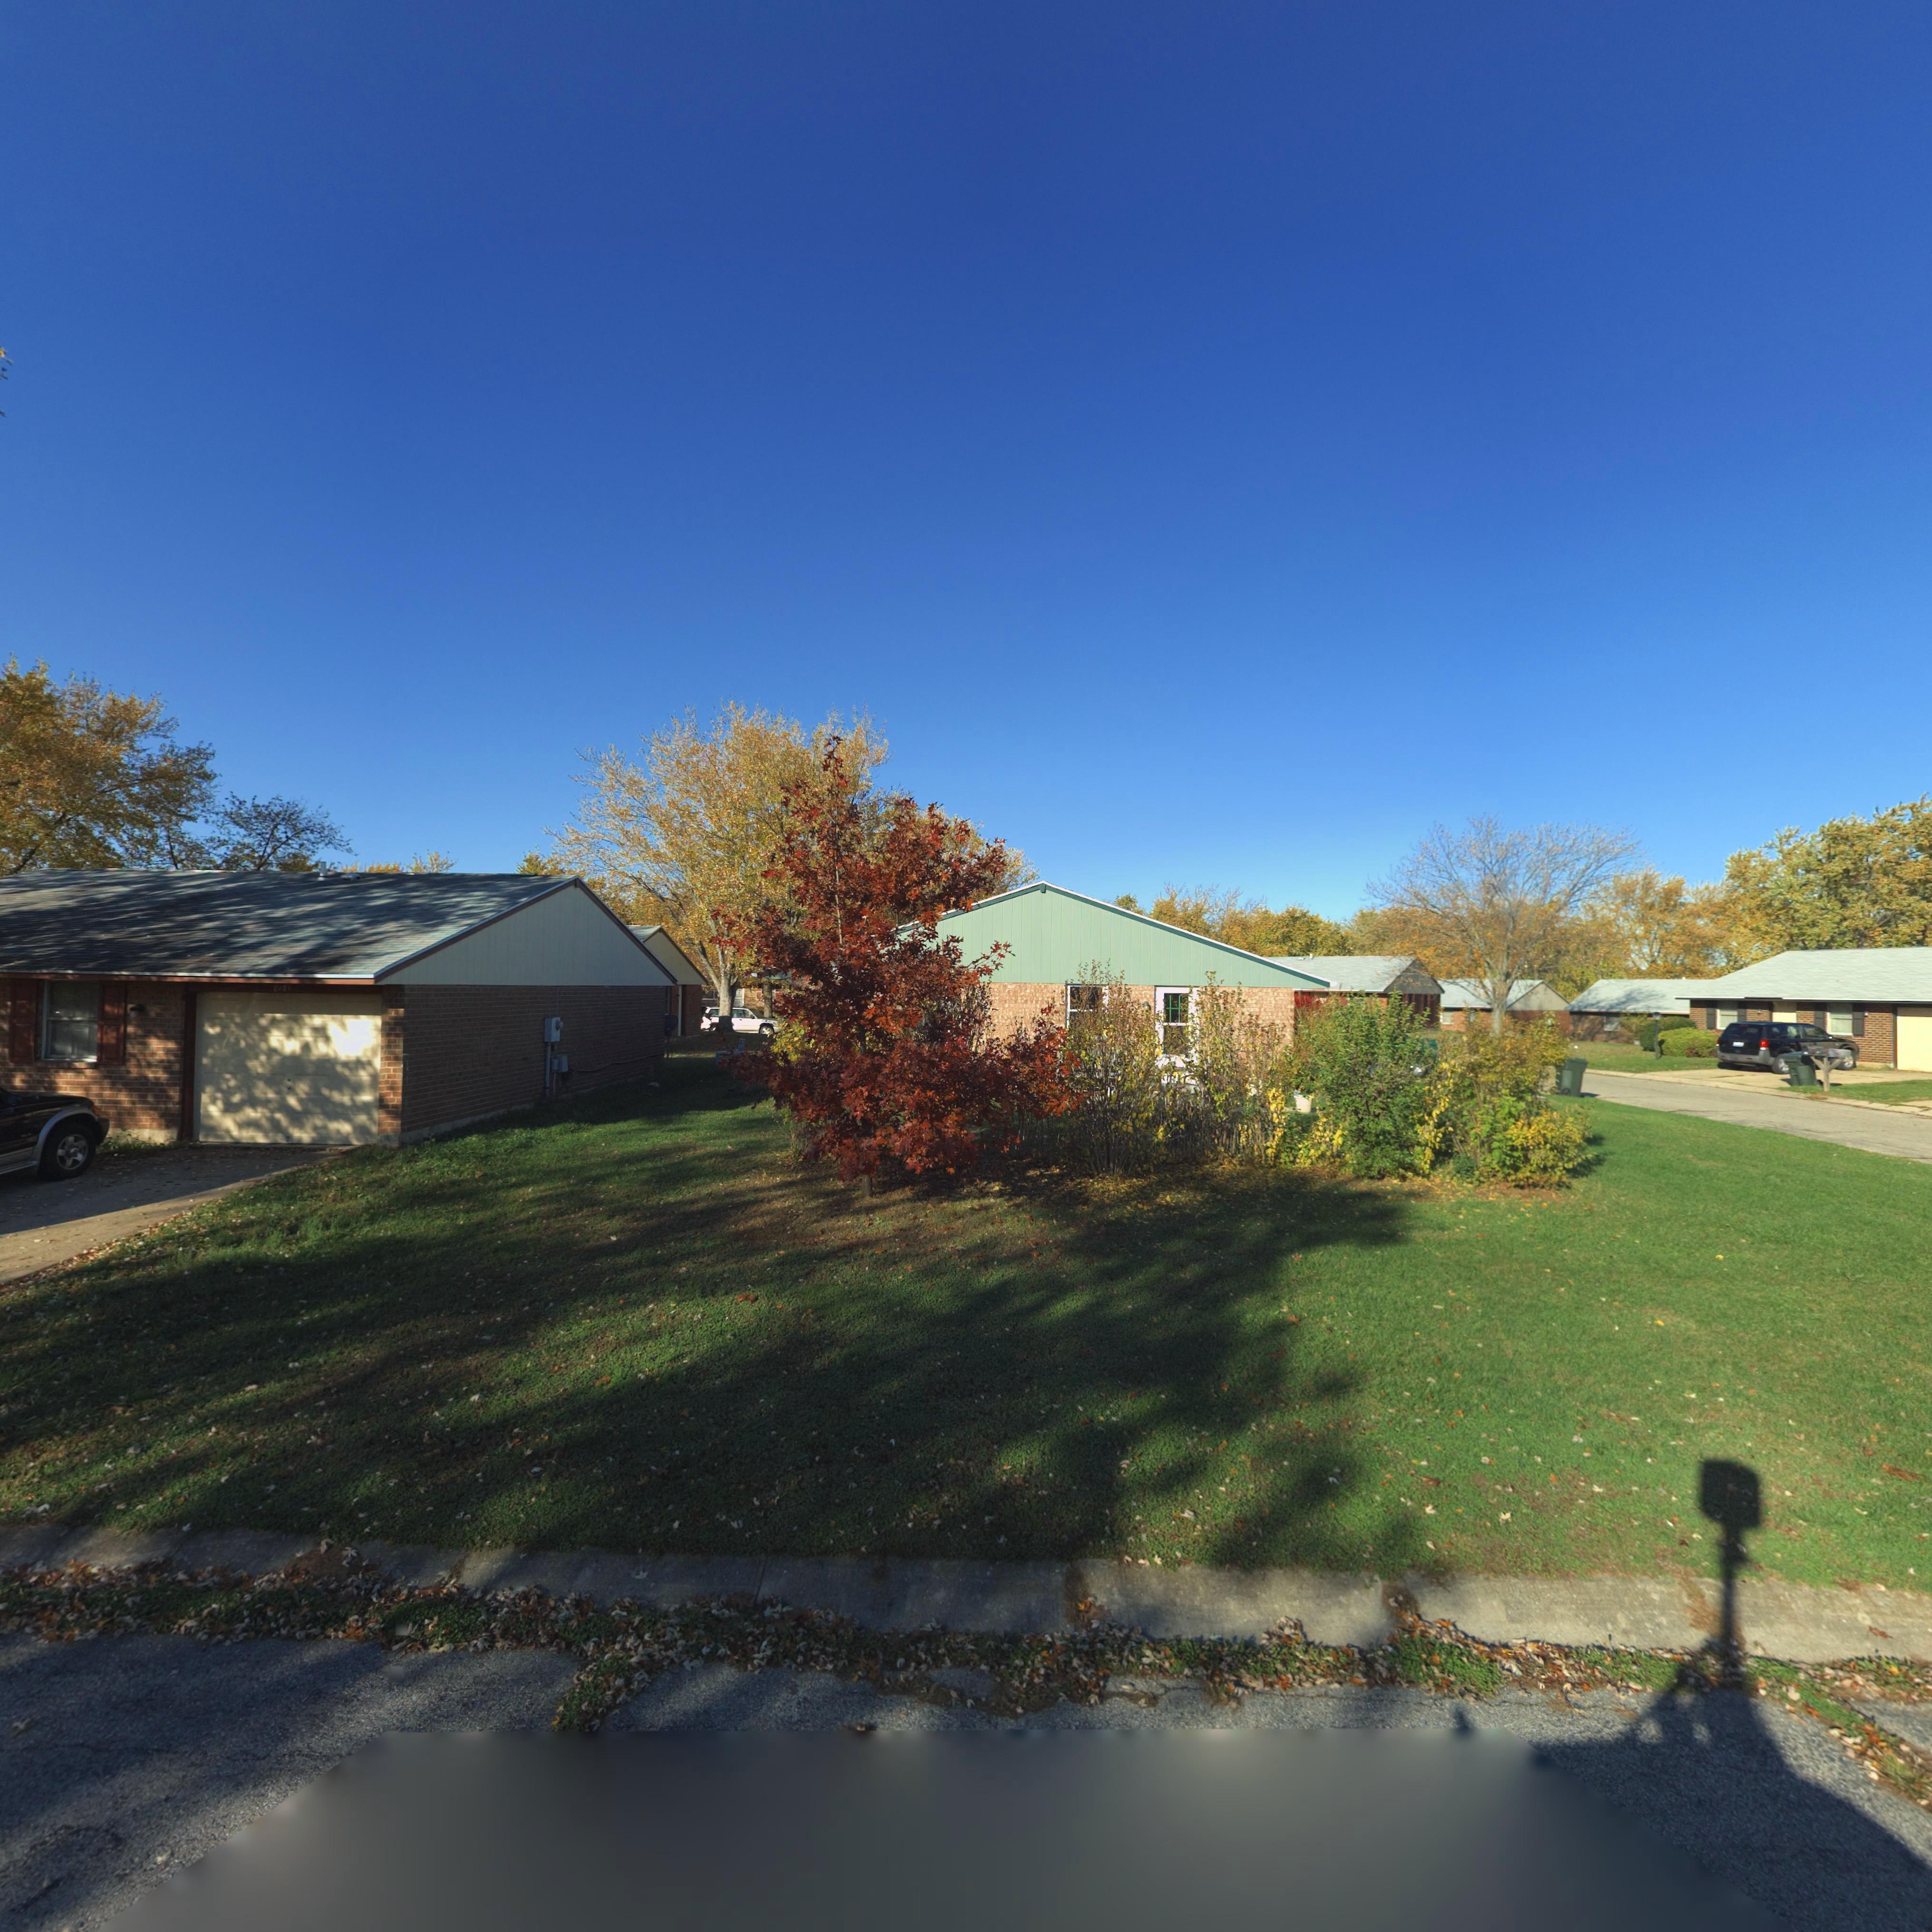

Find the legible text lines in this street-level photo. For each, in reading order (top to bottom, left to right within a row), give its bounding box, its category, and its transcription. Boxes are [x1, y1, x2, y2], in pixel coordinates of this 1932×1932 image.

[272, 984, 292, 994] StreetNumber: 8181